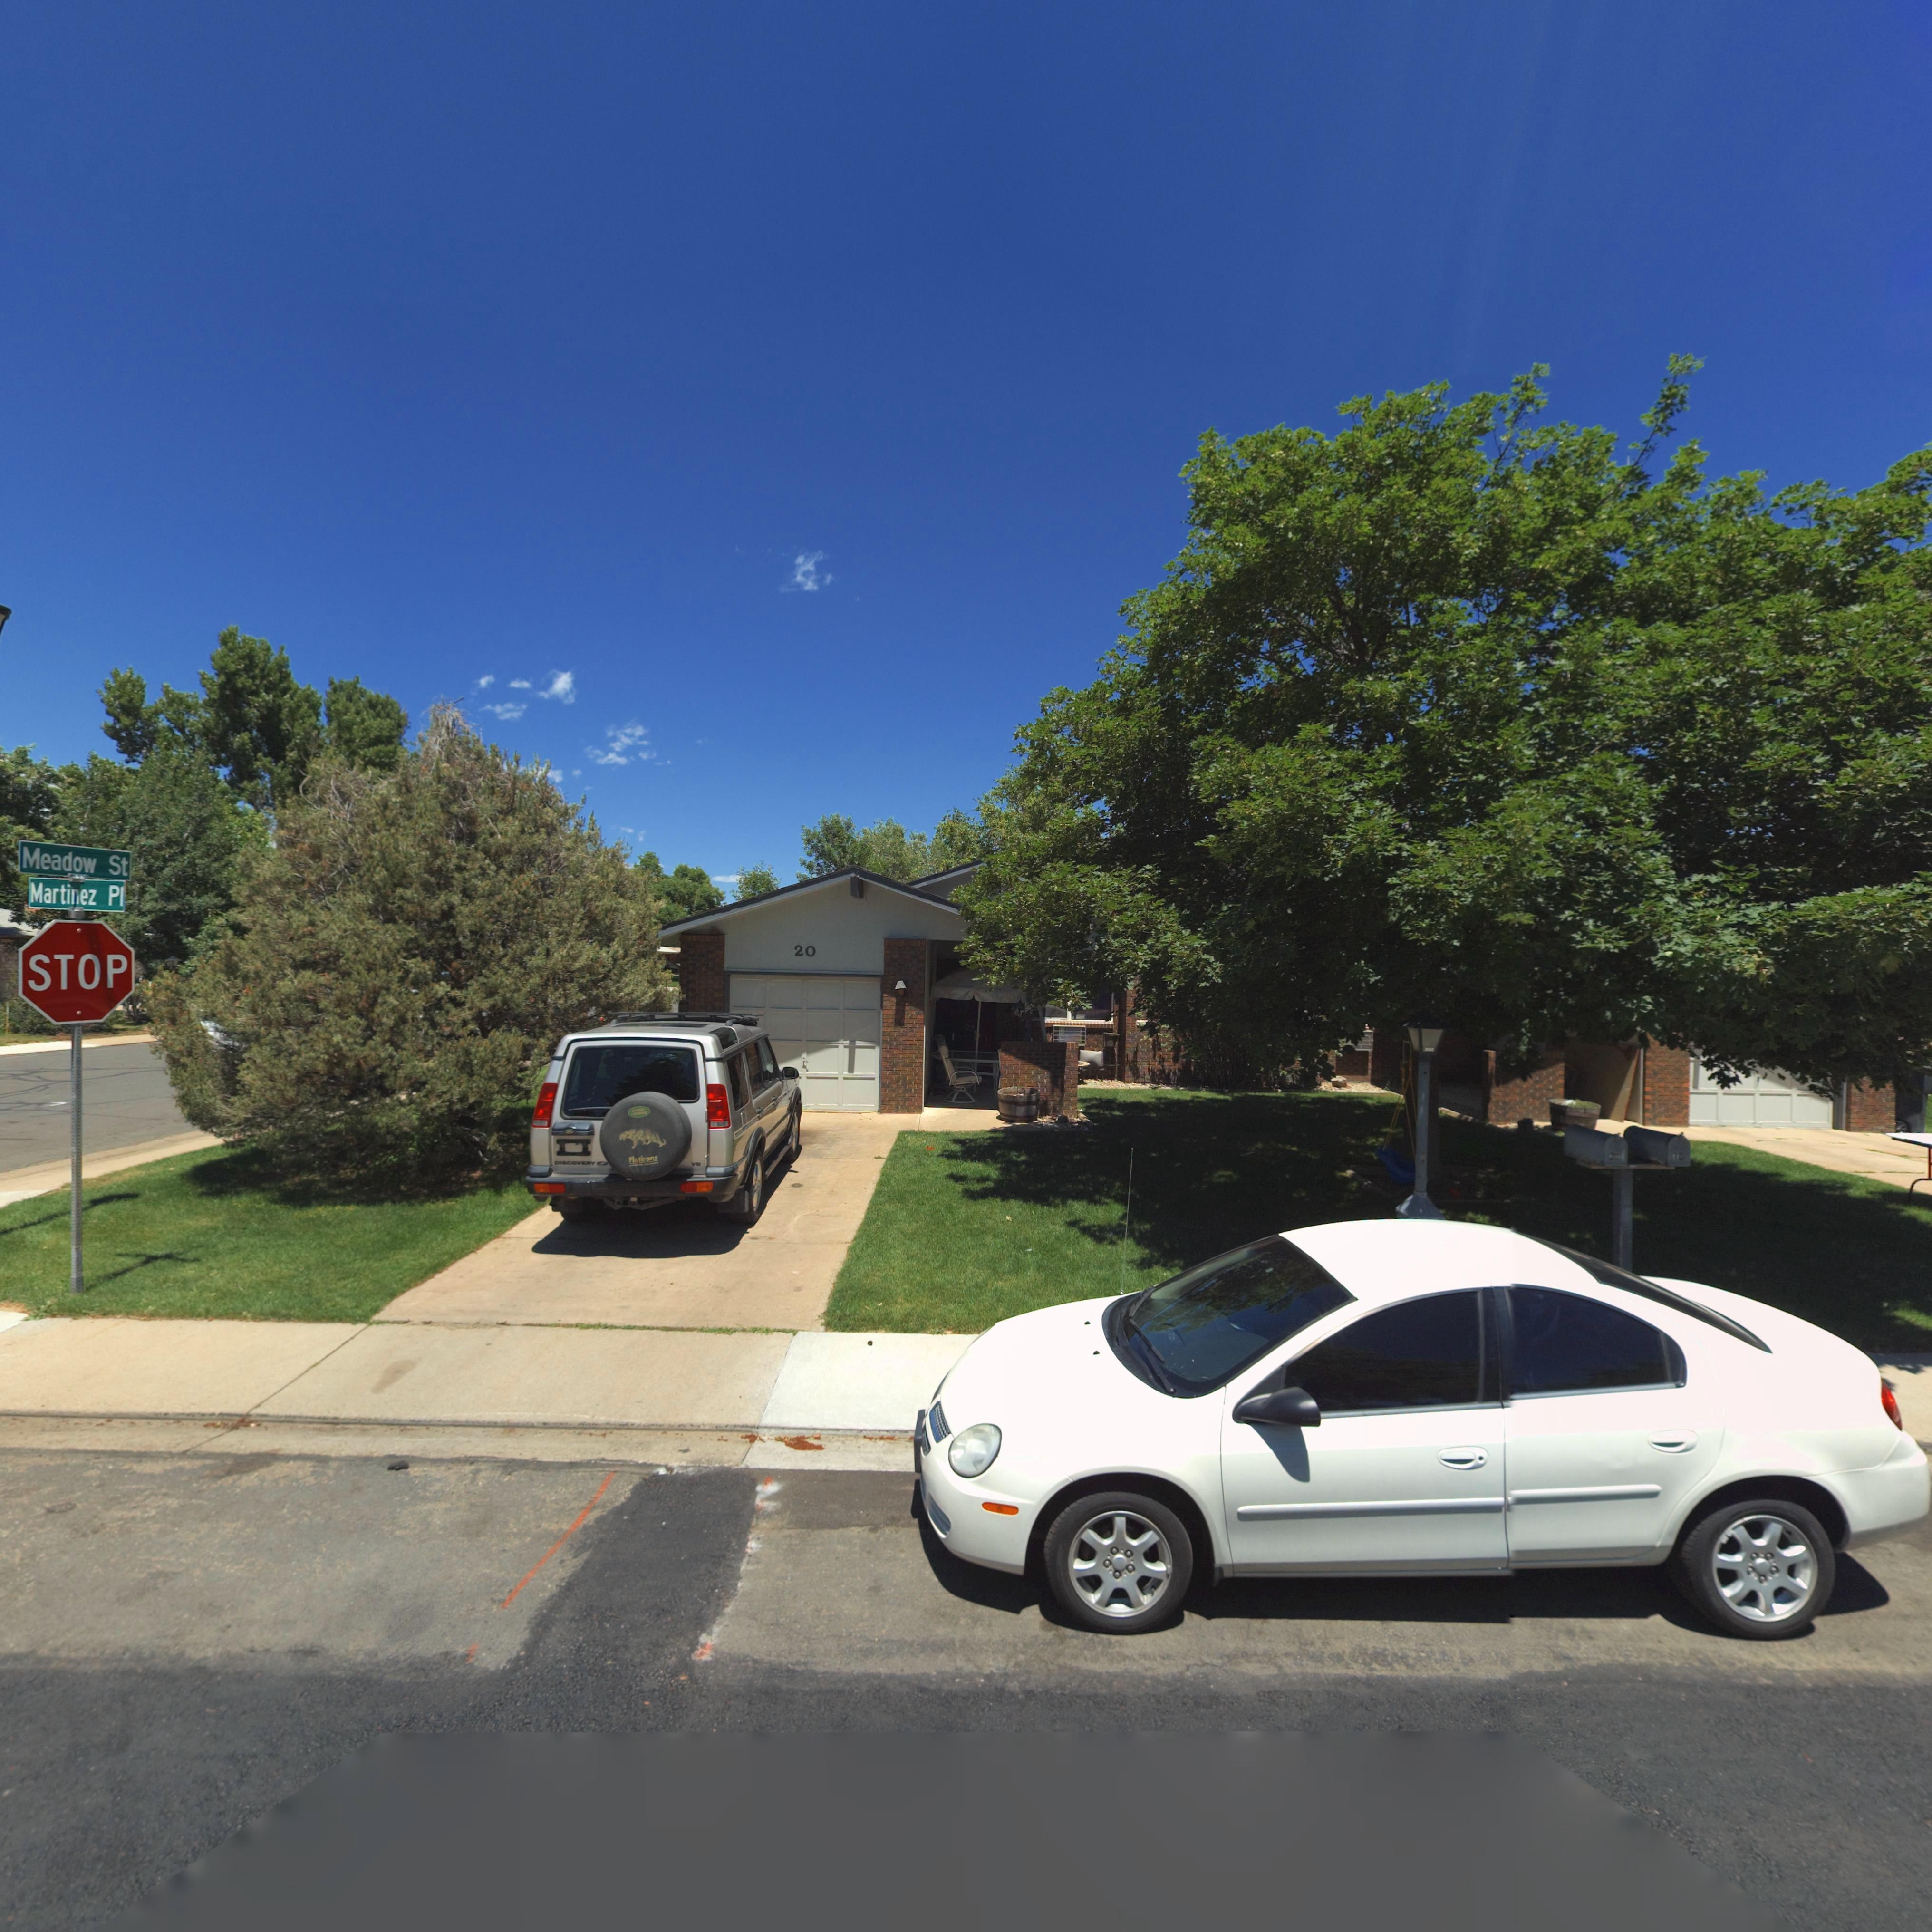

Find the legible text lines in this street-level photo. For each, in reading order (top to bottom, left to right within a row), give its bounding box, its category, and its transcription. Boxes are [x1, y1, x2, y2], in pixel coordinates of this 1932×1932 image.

[22, 845, 129, 877] StreetName: Meadow St
[30, 882, 124, 907] StreetName: Martinez Pl
[793, 944, 816, 957] StreetNumber: 20
[1608, 1152, 1621, 1160] StreetNumber: 20
[1673, 1152, 1683, 1160] StreetNumber: 1*